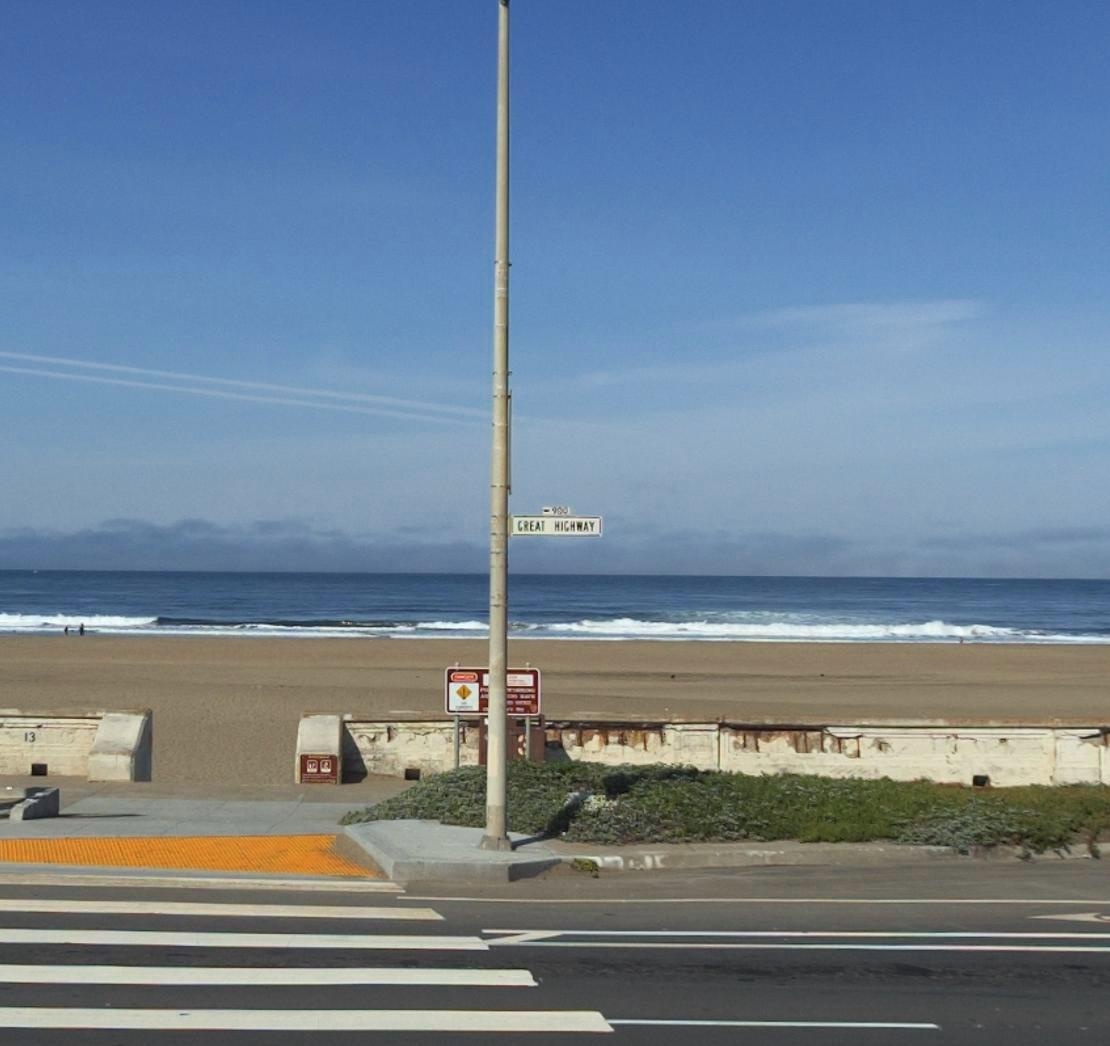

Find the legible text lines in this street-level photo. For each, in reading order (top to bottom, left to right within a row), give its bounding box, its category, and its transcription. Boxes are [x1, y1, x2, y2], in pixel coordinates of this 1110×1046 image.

[541, 505, 568, 515] StreetNumberRange: <-900
[516, 518, 595, 532] StreetName: GREAT HIGHWAY
[22, 730, 35, 742] None: 13